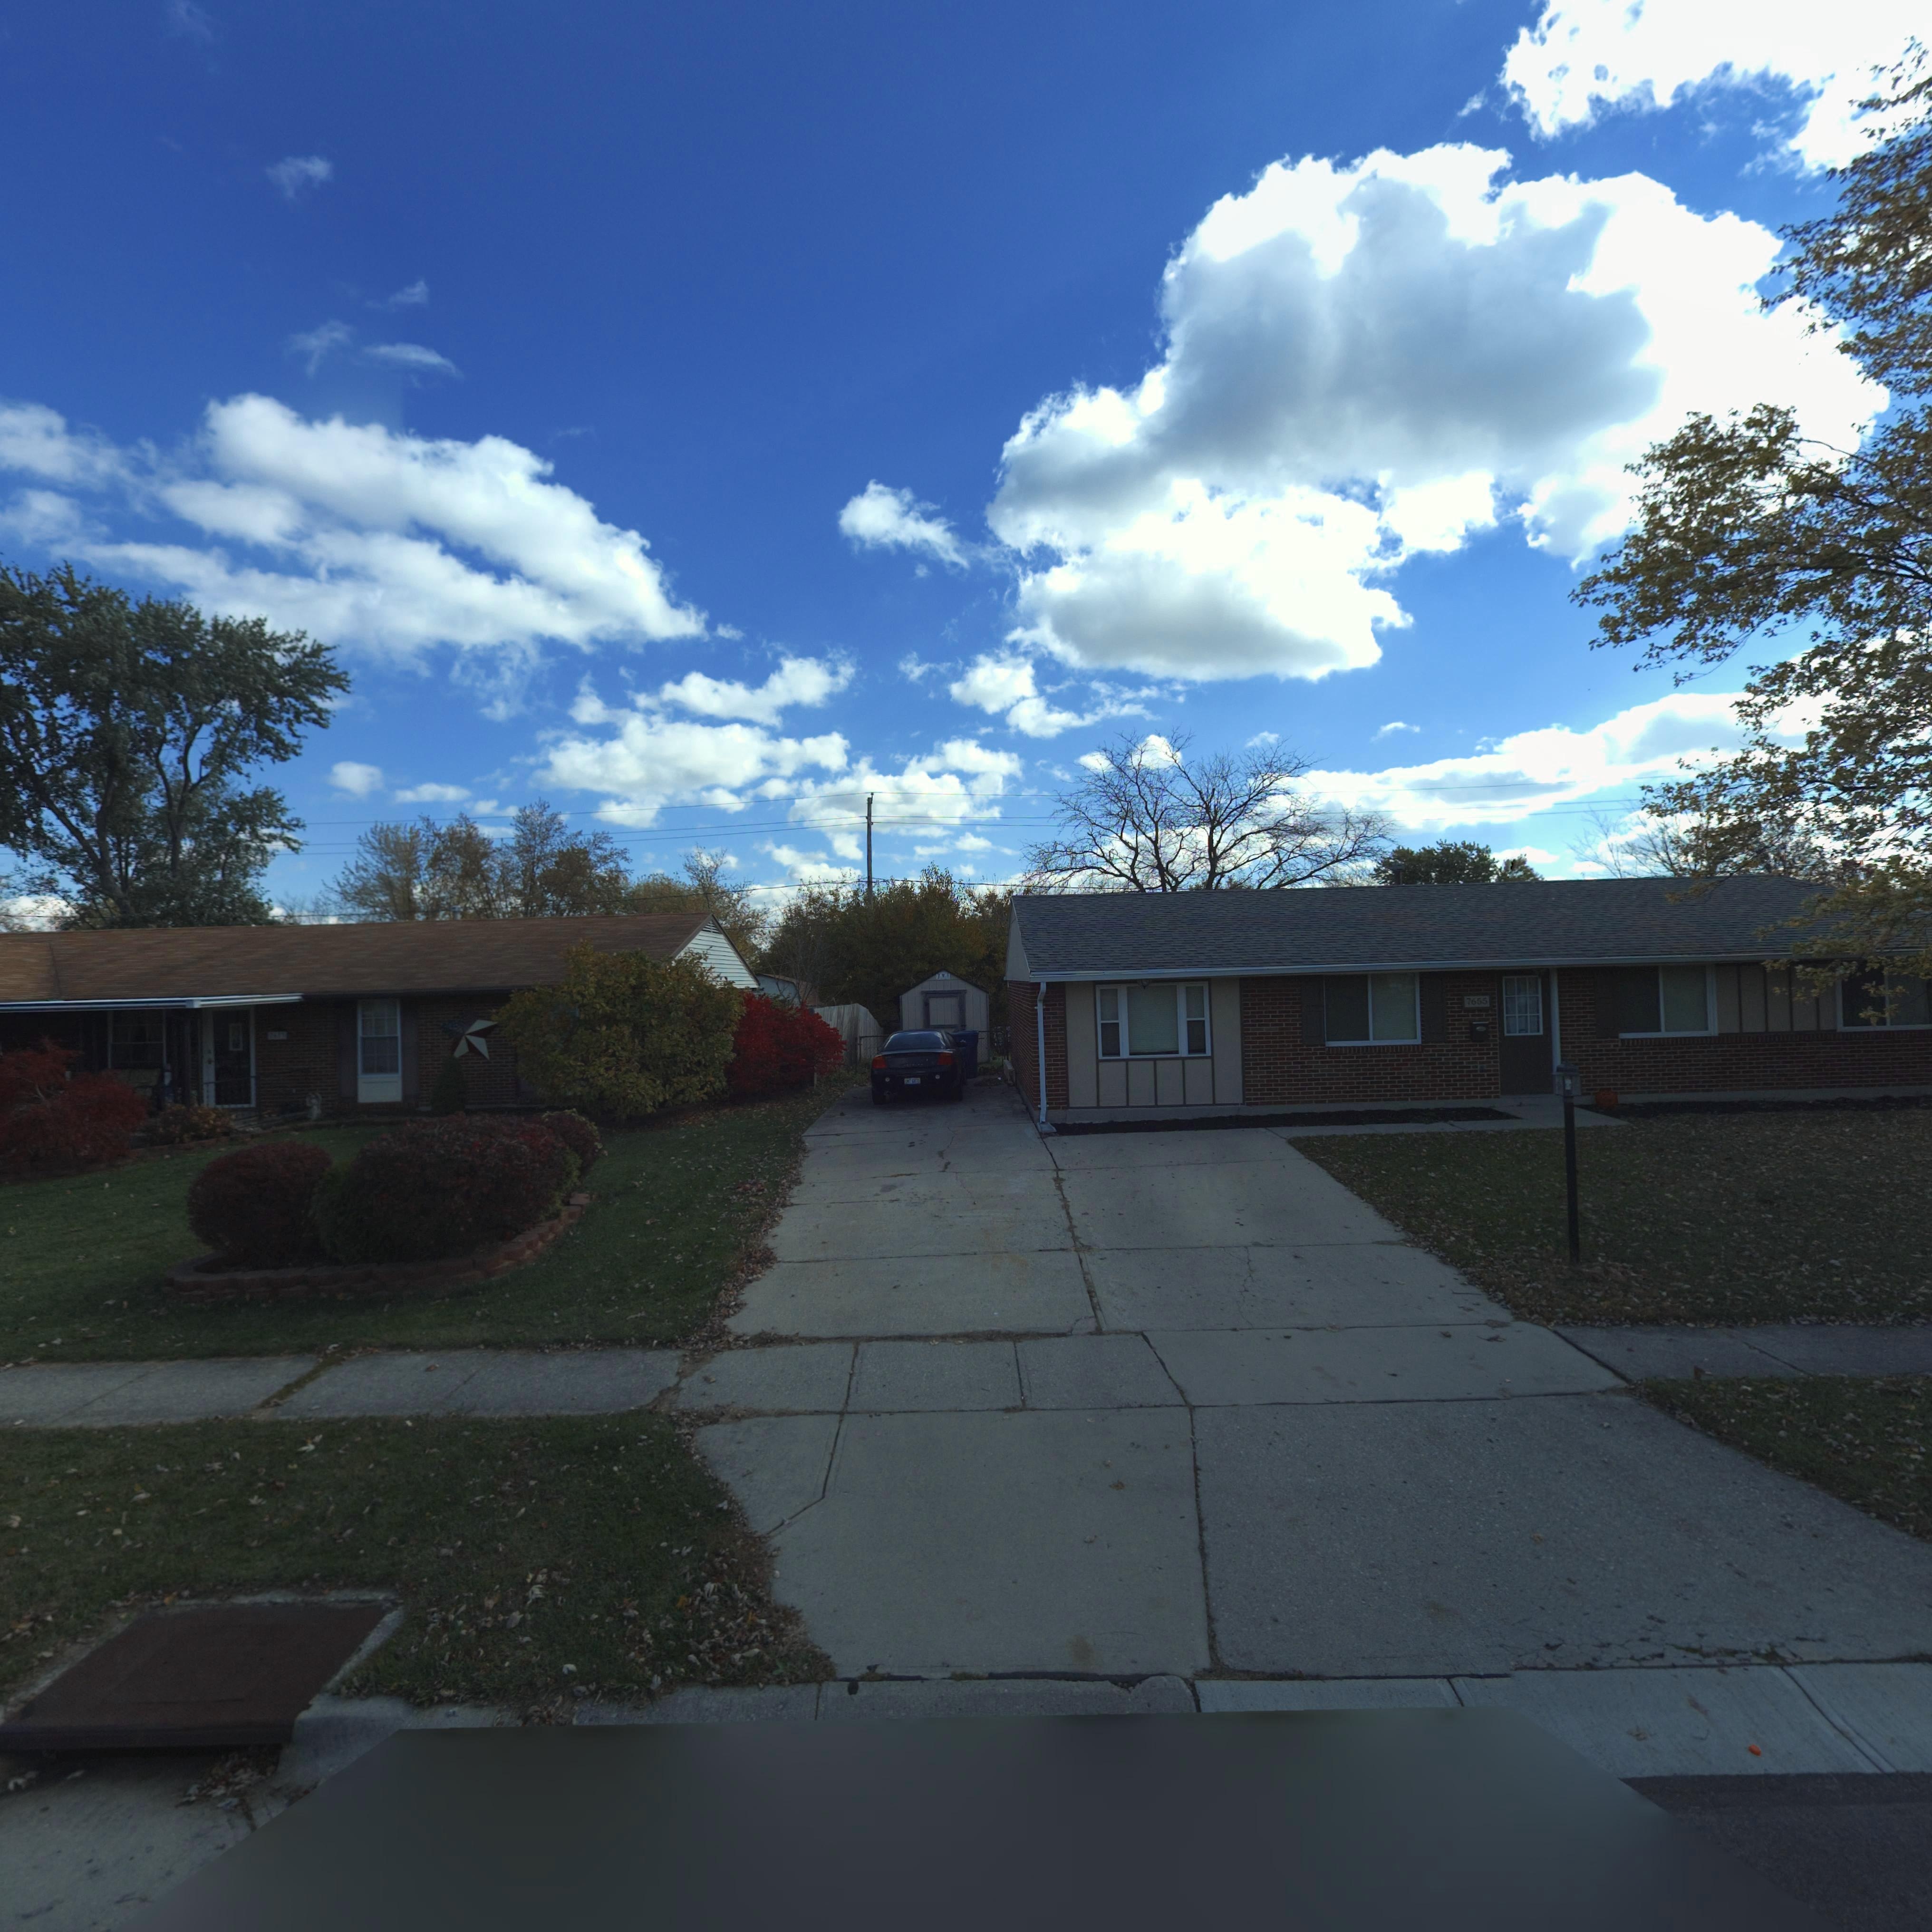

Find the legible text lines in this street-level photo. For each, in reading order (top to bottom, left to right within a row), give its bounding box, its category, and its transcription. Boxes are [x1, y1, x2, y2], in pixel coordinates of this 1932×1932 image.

[1466, 997, 1488, 1005] StreetNumber: 7655
[268, 1031, 286, 1039] StreetNumber: 76**